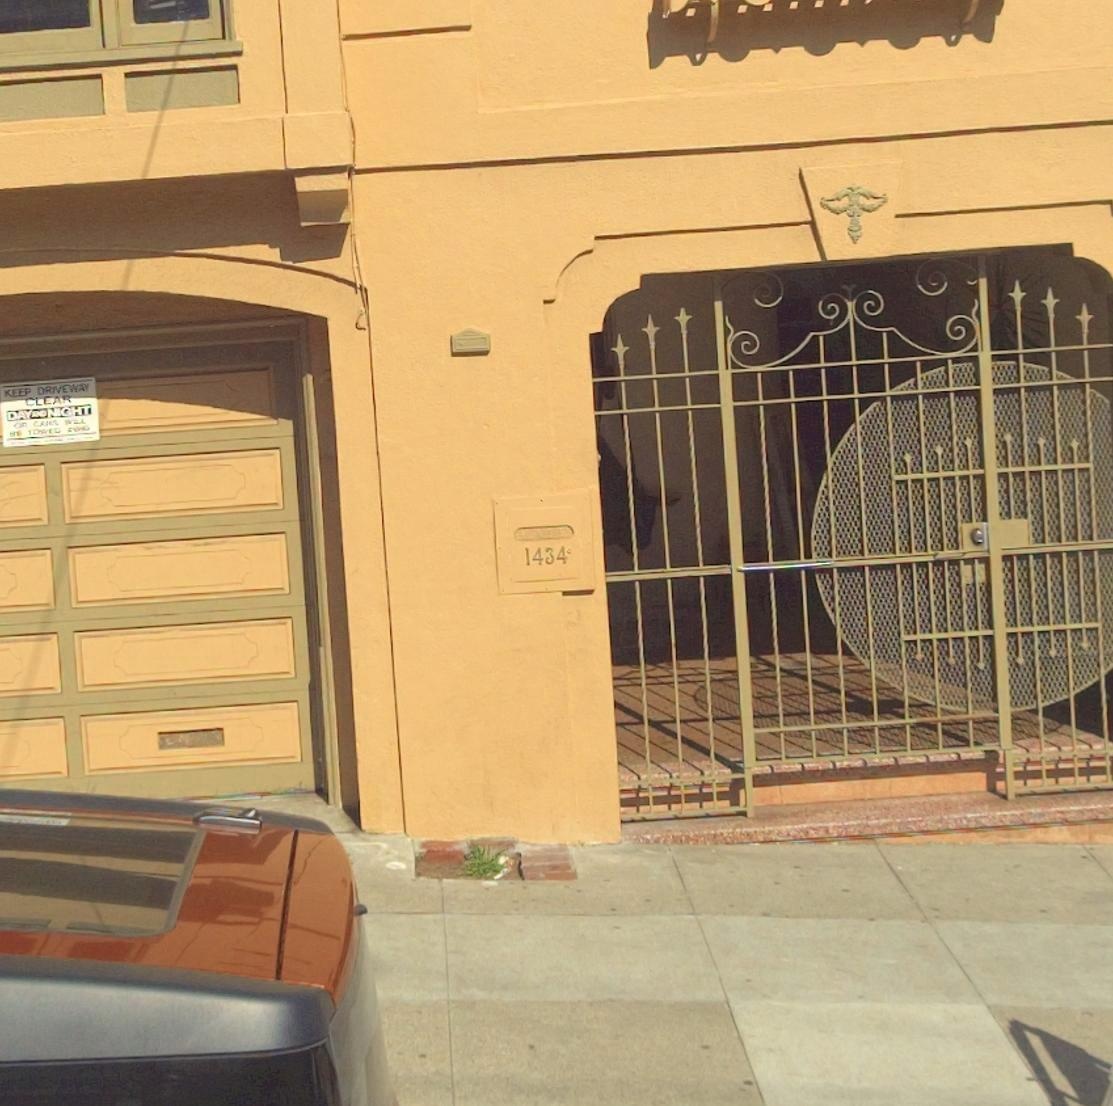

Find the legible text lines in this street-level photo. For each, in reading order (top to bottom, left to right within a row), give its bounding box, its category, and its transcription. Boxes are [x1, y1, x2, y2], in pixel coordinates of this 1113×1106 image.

[3, 381, 90, 399] None: KEEP DRIVEWAY
[23, 393, 74, 408] None: CLEAR
[6, 405, 92, 422] None: DAY AND NIGHT
[12, 418, 88, 430] None: OR CARS WILL
[8, 424, 92, 438] None: BE TOWED ***
[522, 544, 570, 568] StreetNumber: 1434